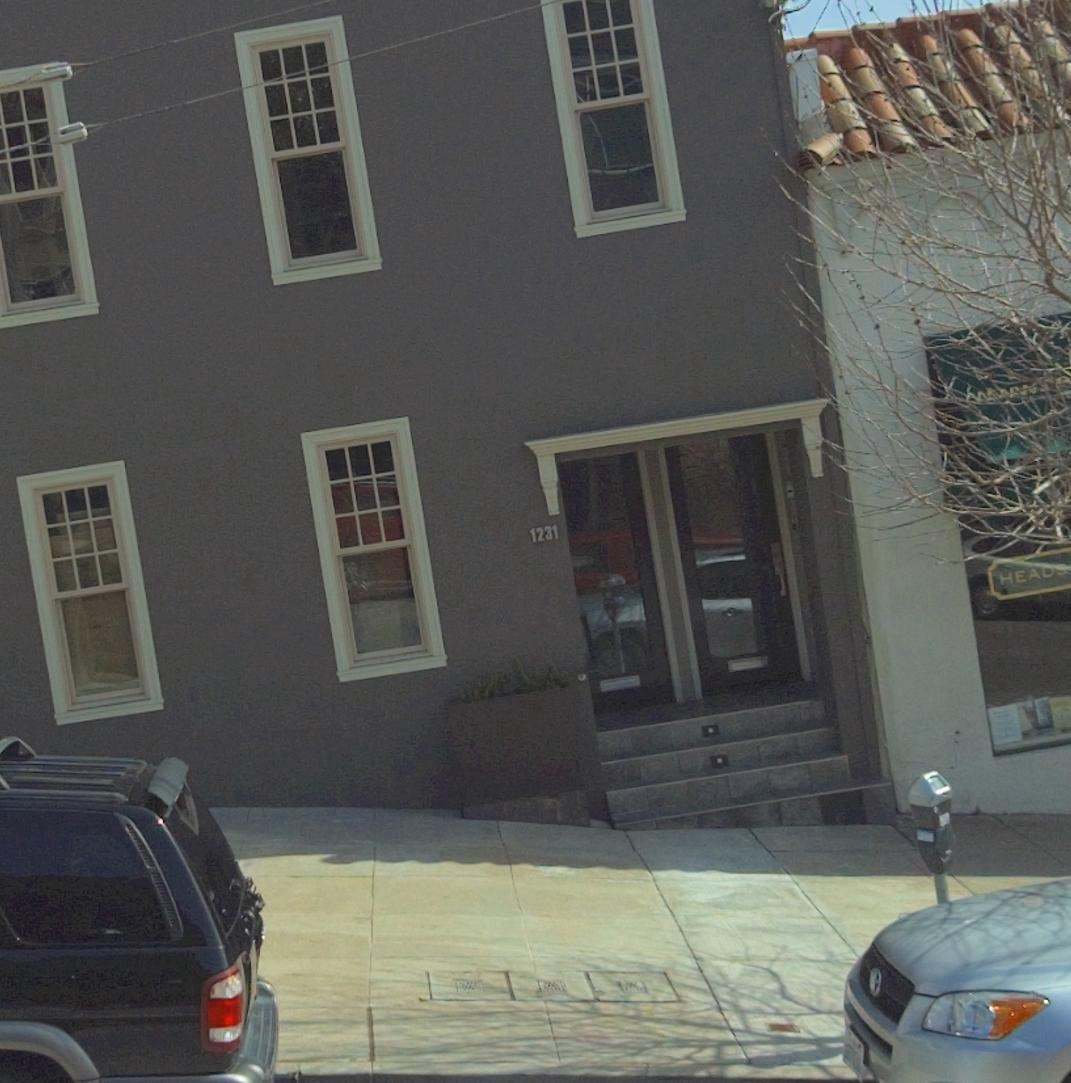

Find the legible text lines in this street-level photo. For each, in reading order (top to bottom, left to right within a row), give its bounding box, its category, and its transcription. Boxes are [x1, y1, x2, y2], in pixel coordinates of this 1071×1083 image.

[527, 522, 561, 545] StreetNumber: 1231
[997, 560, 1070, 589] BusinessName: HEAD*